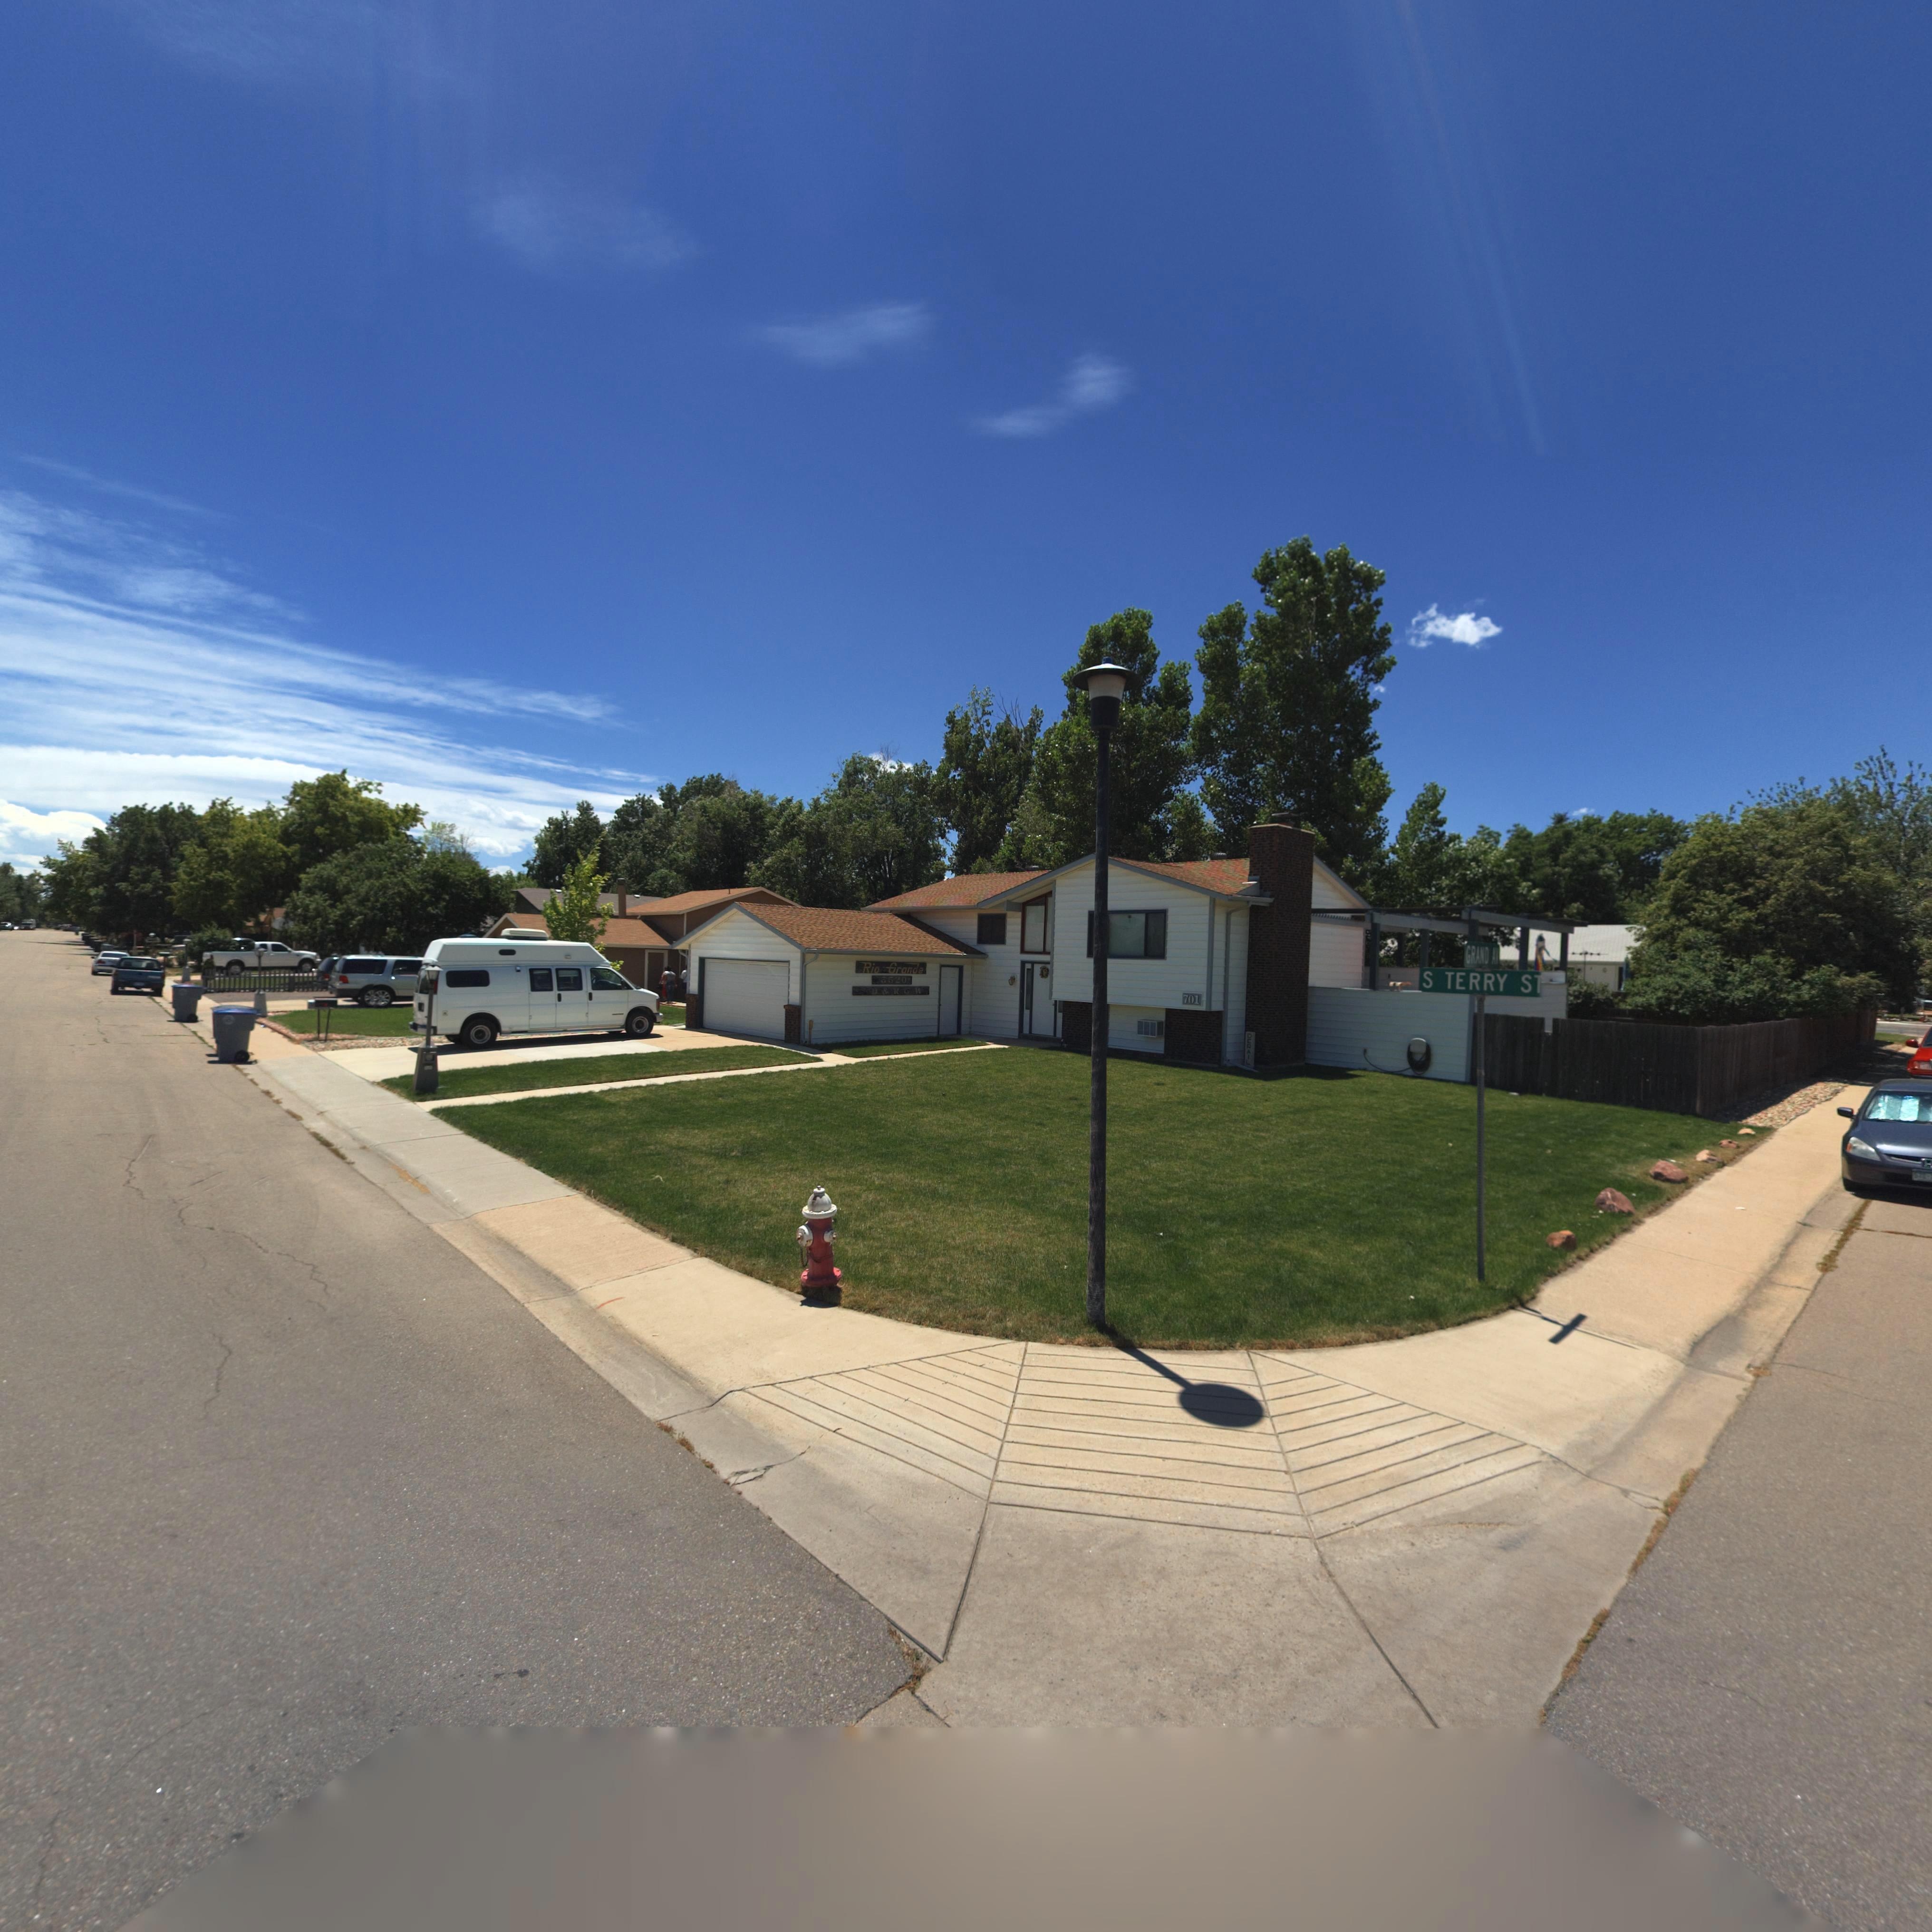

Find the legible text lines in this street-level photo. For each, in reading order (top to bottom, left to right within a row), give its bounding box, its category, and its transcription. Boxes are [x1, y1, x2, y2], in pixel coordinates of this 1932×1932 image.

[1464, 945, 1500, 965] StreetName: GRAND A*
[1420, 970, 1543, 994] StreetName: S TERRY S*
[1183, 994, 1199, 1005] StreetNumber: 701